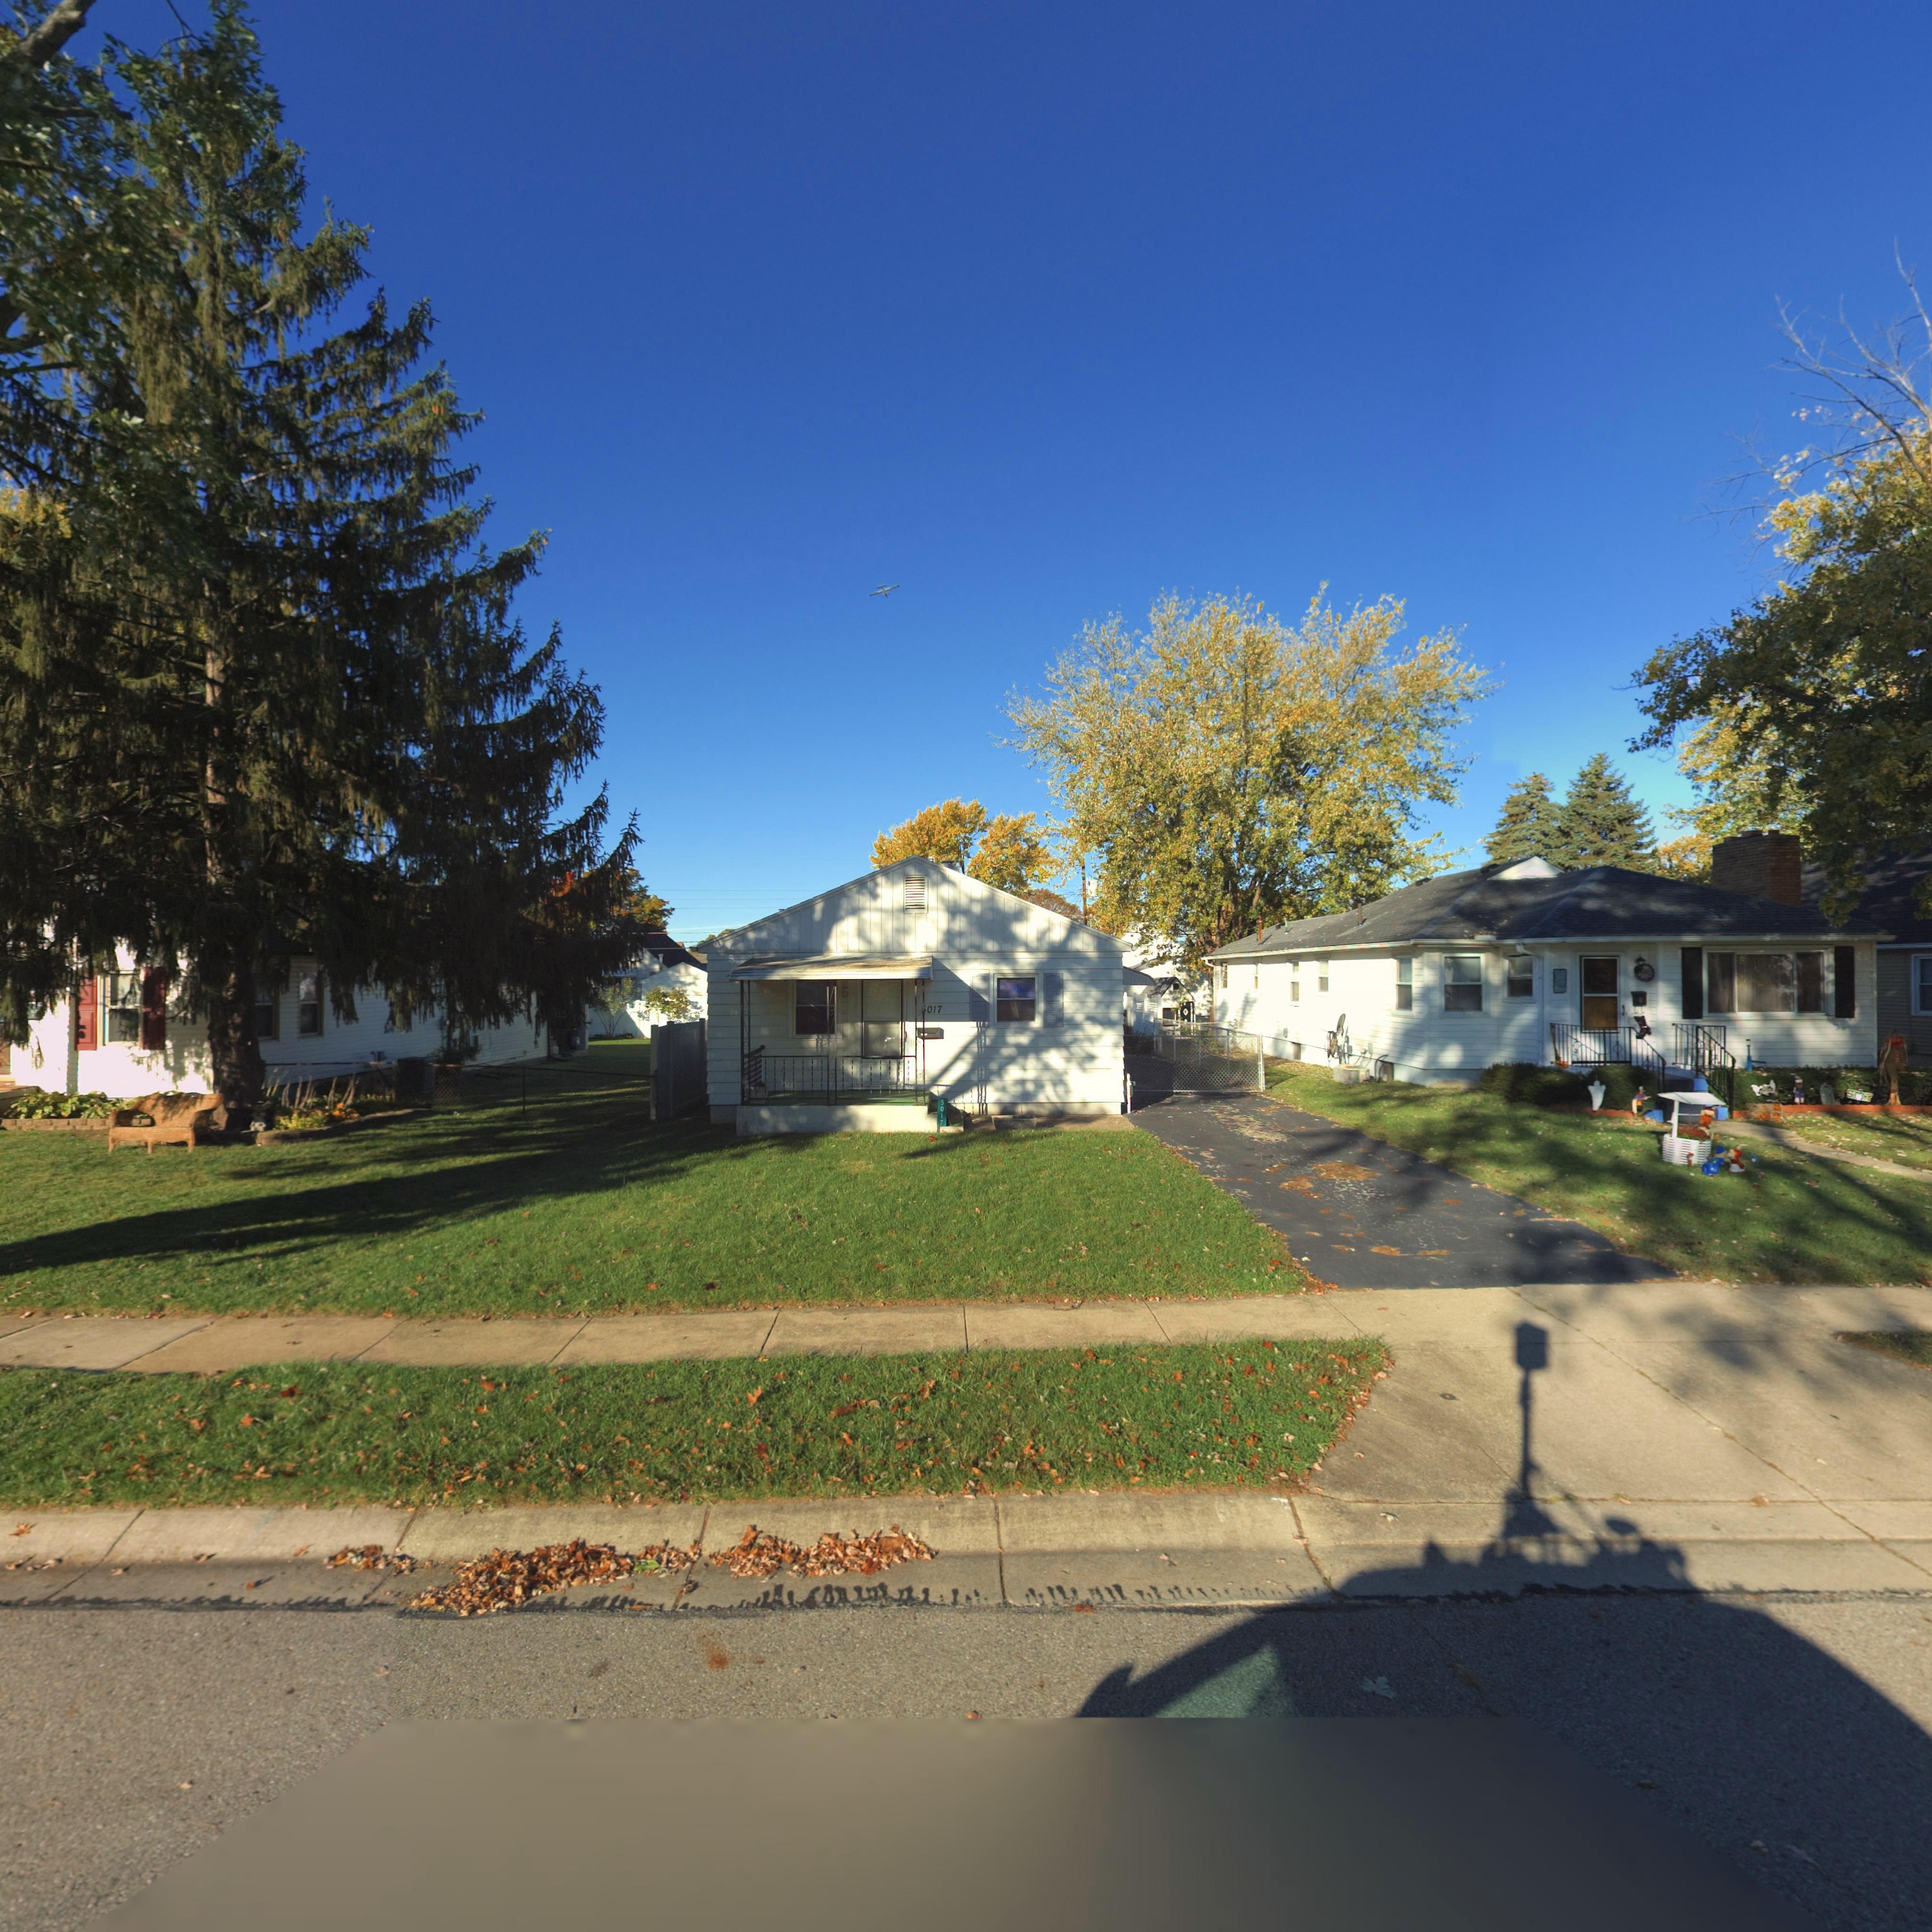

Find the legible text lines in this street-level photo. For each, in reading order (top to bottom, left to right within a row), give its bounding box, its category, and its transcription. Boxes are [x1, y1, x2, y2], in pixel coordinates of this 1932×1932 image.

[920, 1005, 943, 1014] StreetNumber: *017